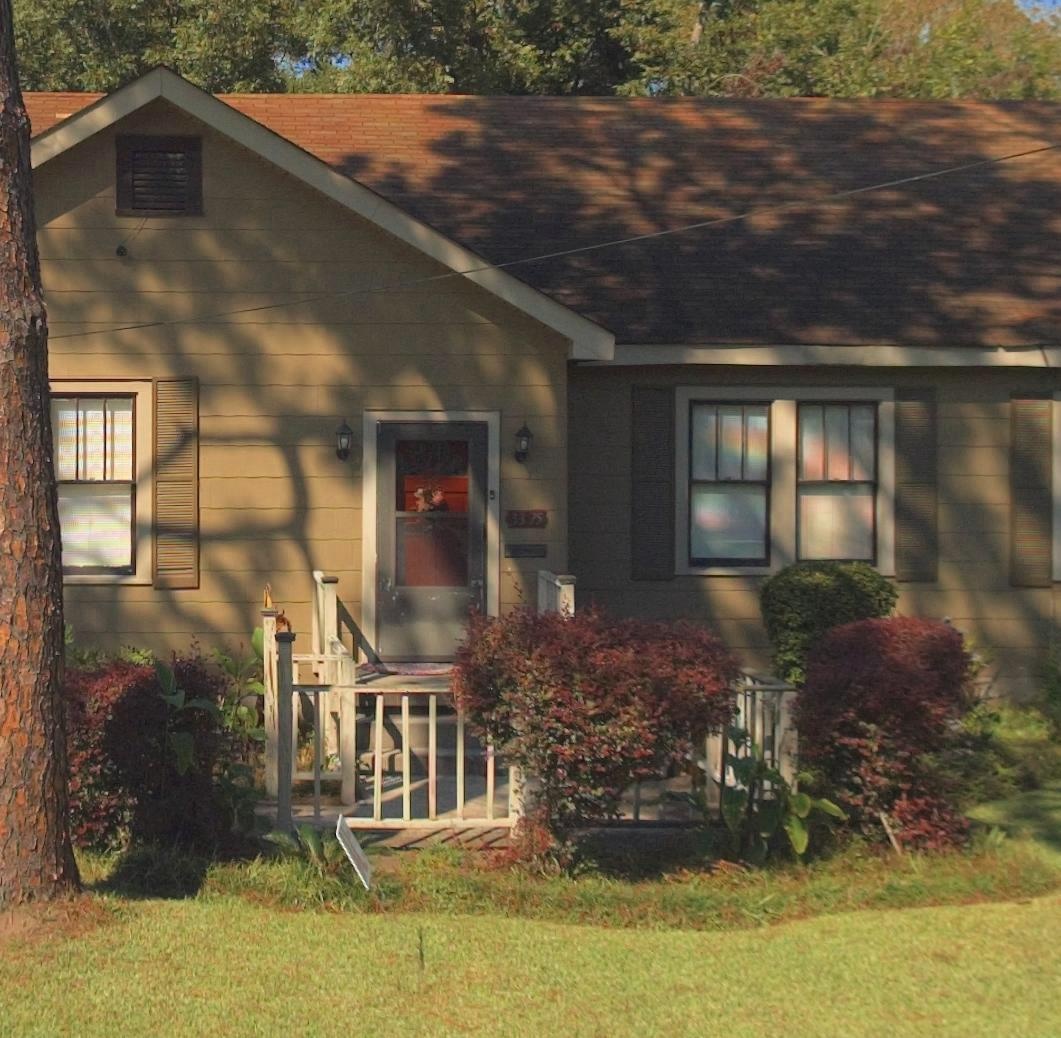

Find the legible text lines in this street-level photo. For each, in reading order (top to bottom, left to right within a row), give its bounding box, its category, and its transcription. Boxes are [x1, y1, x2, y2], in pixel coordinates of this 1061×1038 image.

[509, 511, 545, 528] StreetNumber: 3375